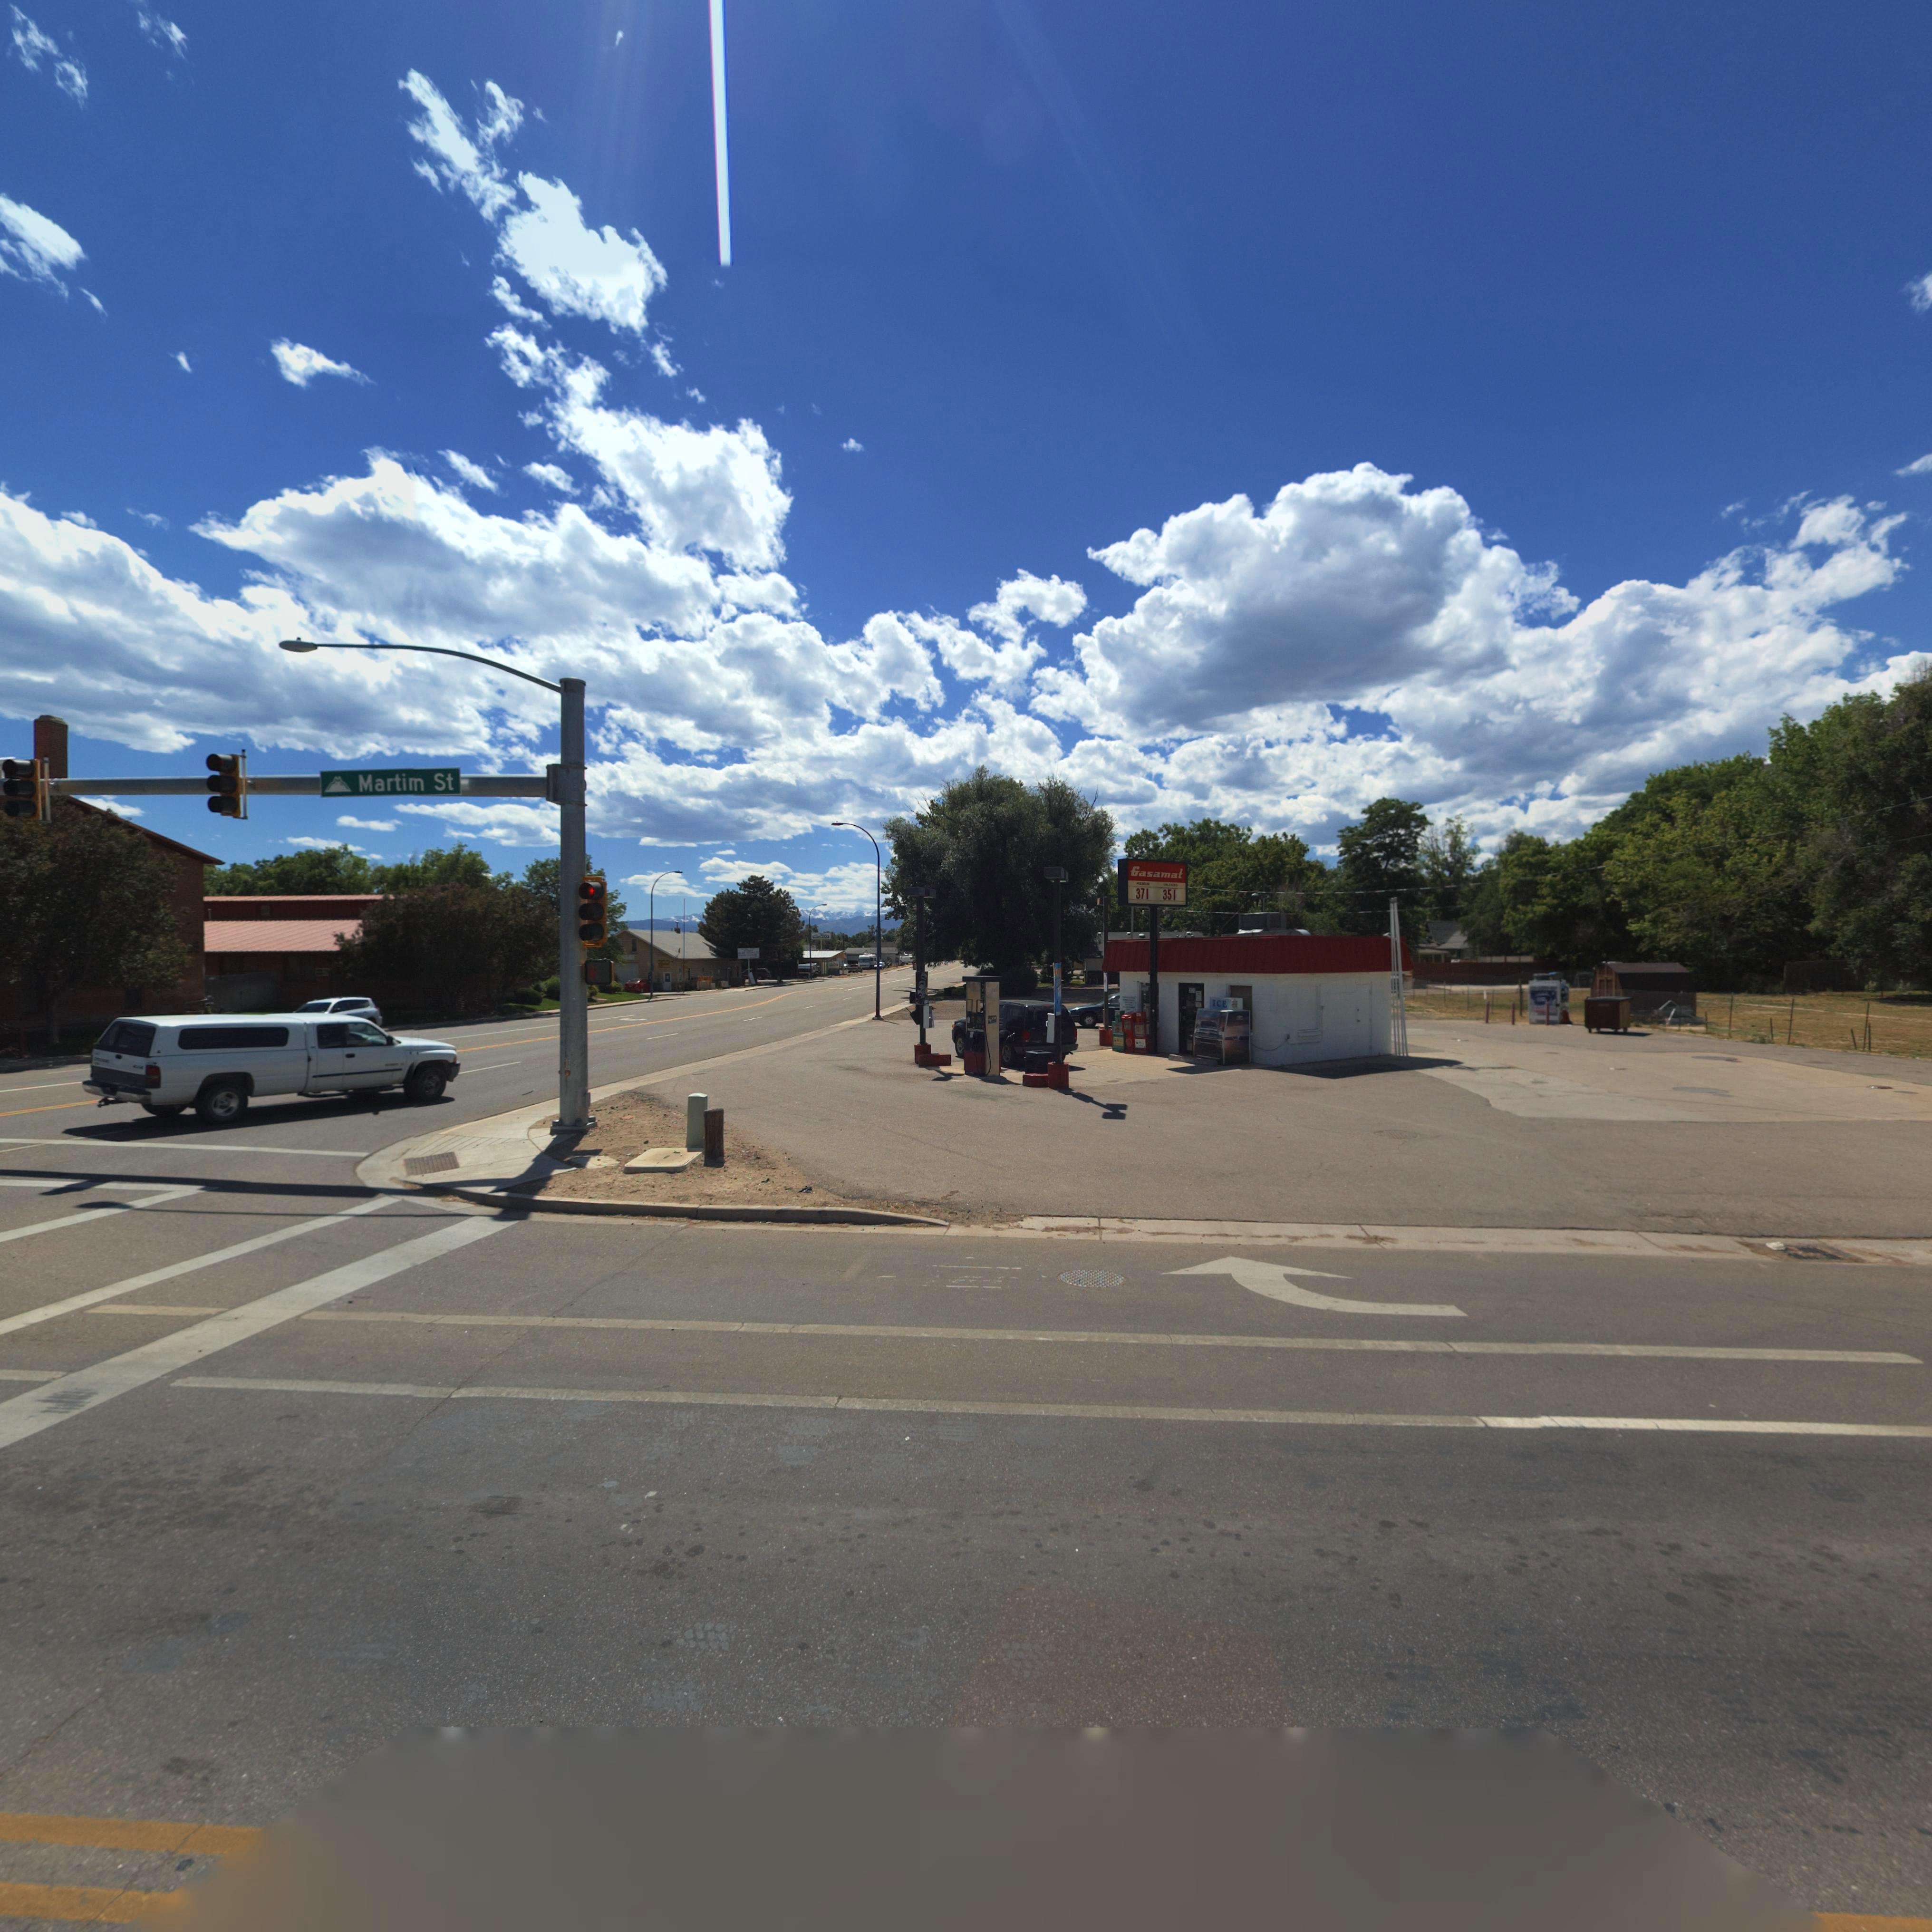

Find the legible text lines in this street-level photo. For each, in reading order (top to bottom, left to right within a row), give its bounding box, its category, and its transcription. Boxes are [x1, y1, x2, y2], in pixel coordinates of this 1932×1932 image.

[358, 773, 454, 792] StreetName: Martin St
[1130, 865, 1184, 879] BusinessName: Gasamat